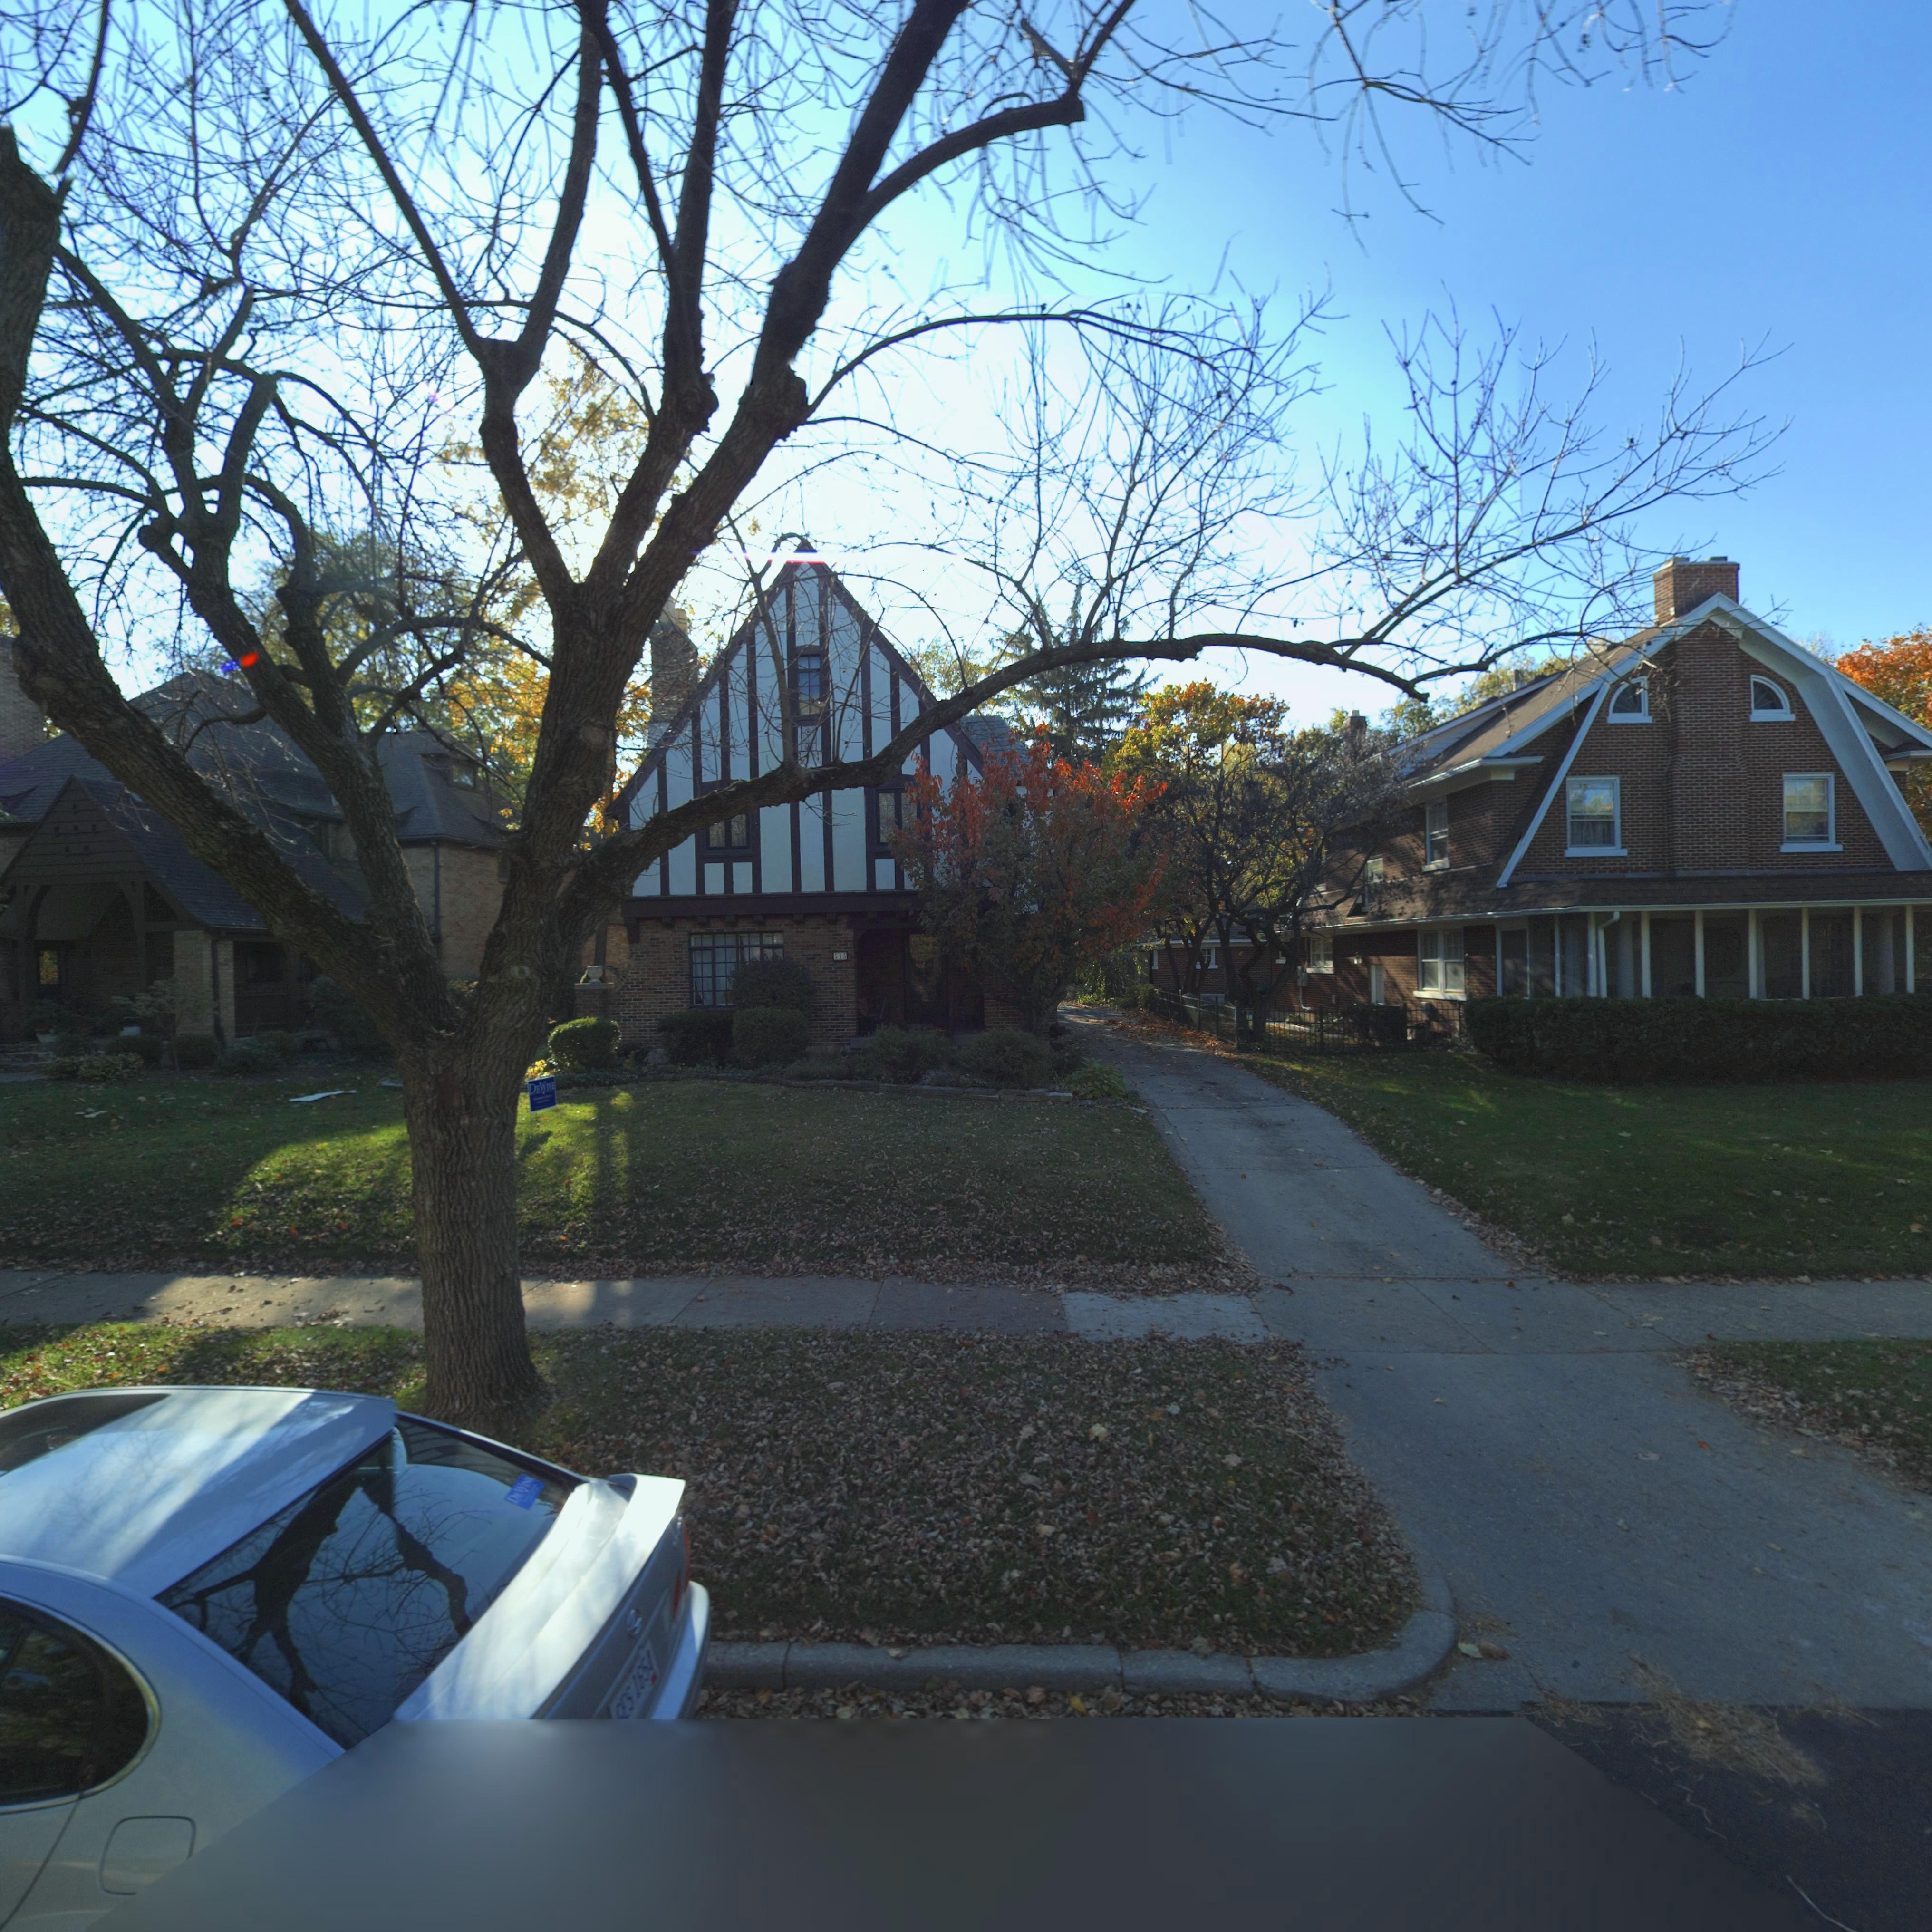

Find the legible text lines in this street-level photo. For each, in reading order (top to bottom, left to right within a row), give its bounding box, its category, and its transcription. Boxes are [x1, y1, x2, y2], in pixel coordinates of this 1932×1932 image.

[833, 952, 847, 960] StreetNumber: 51*